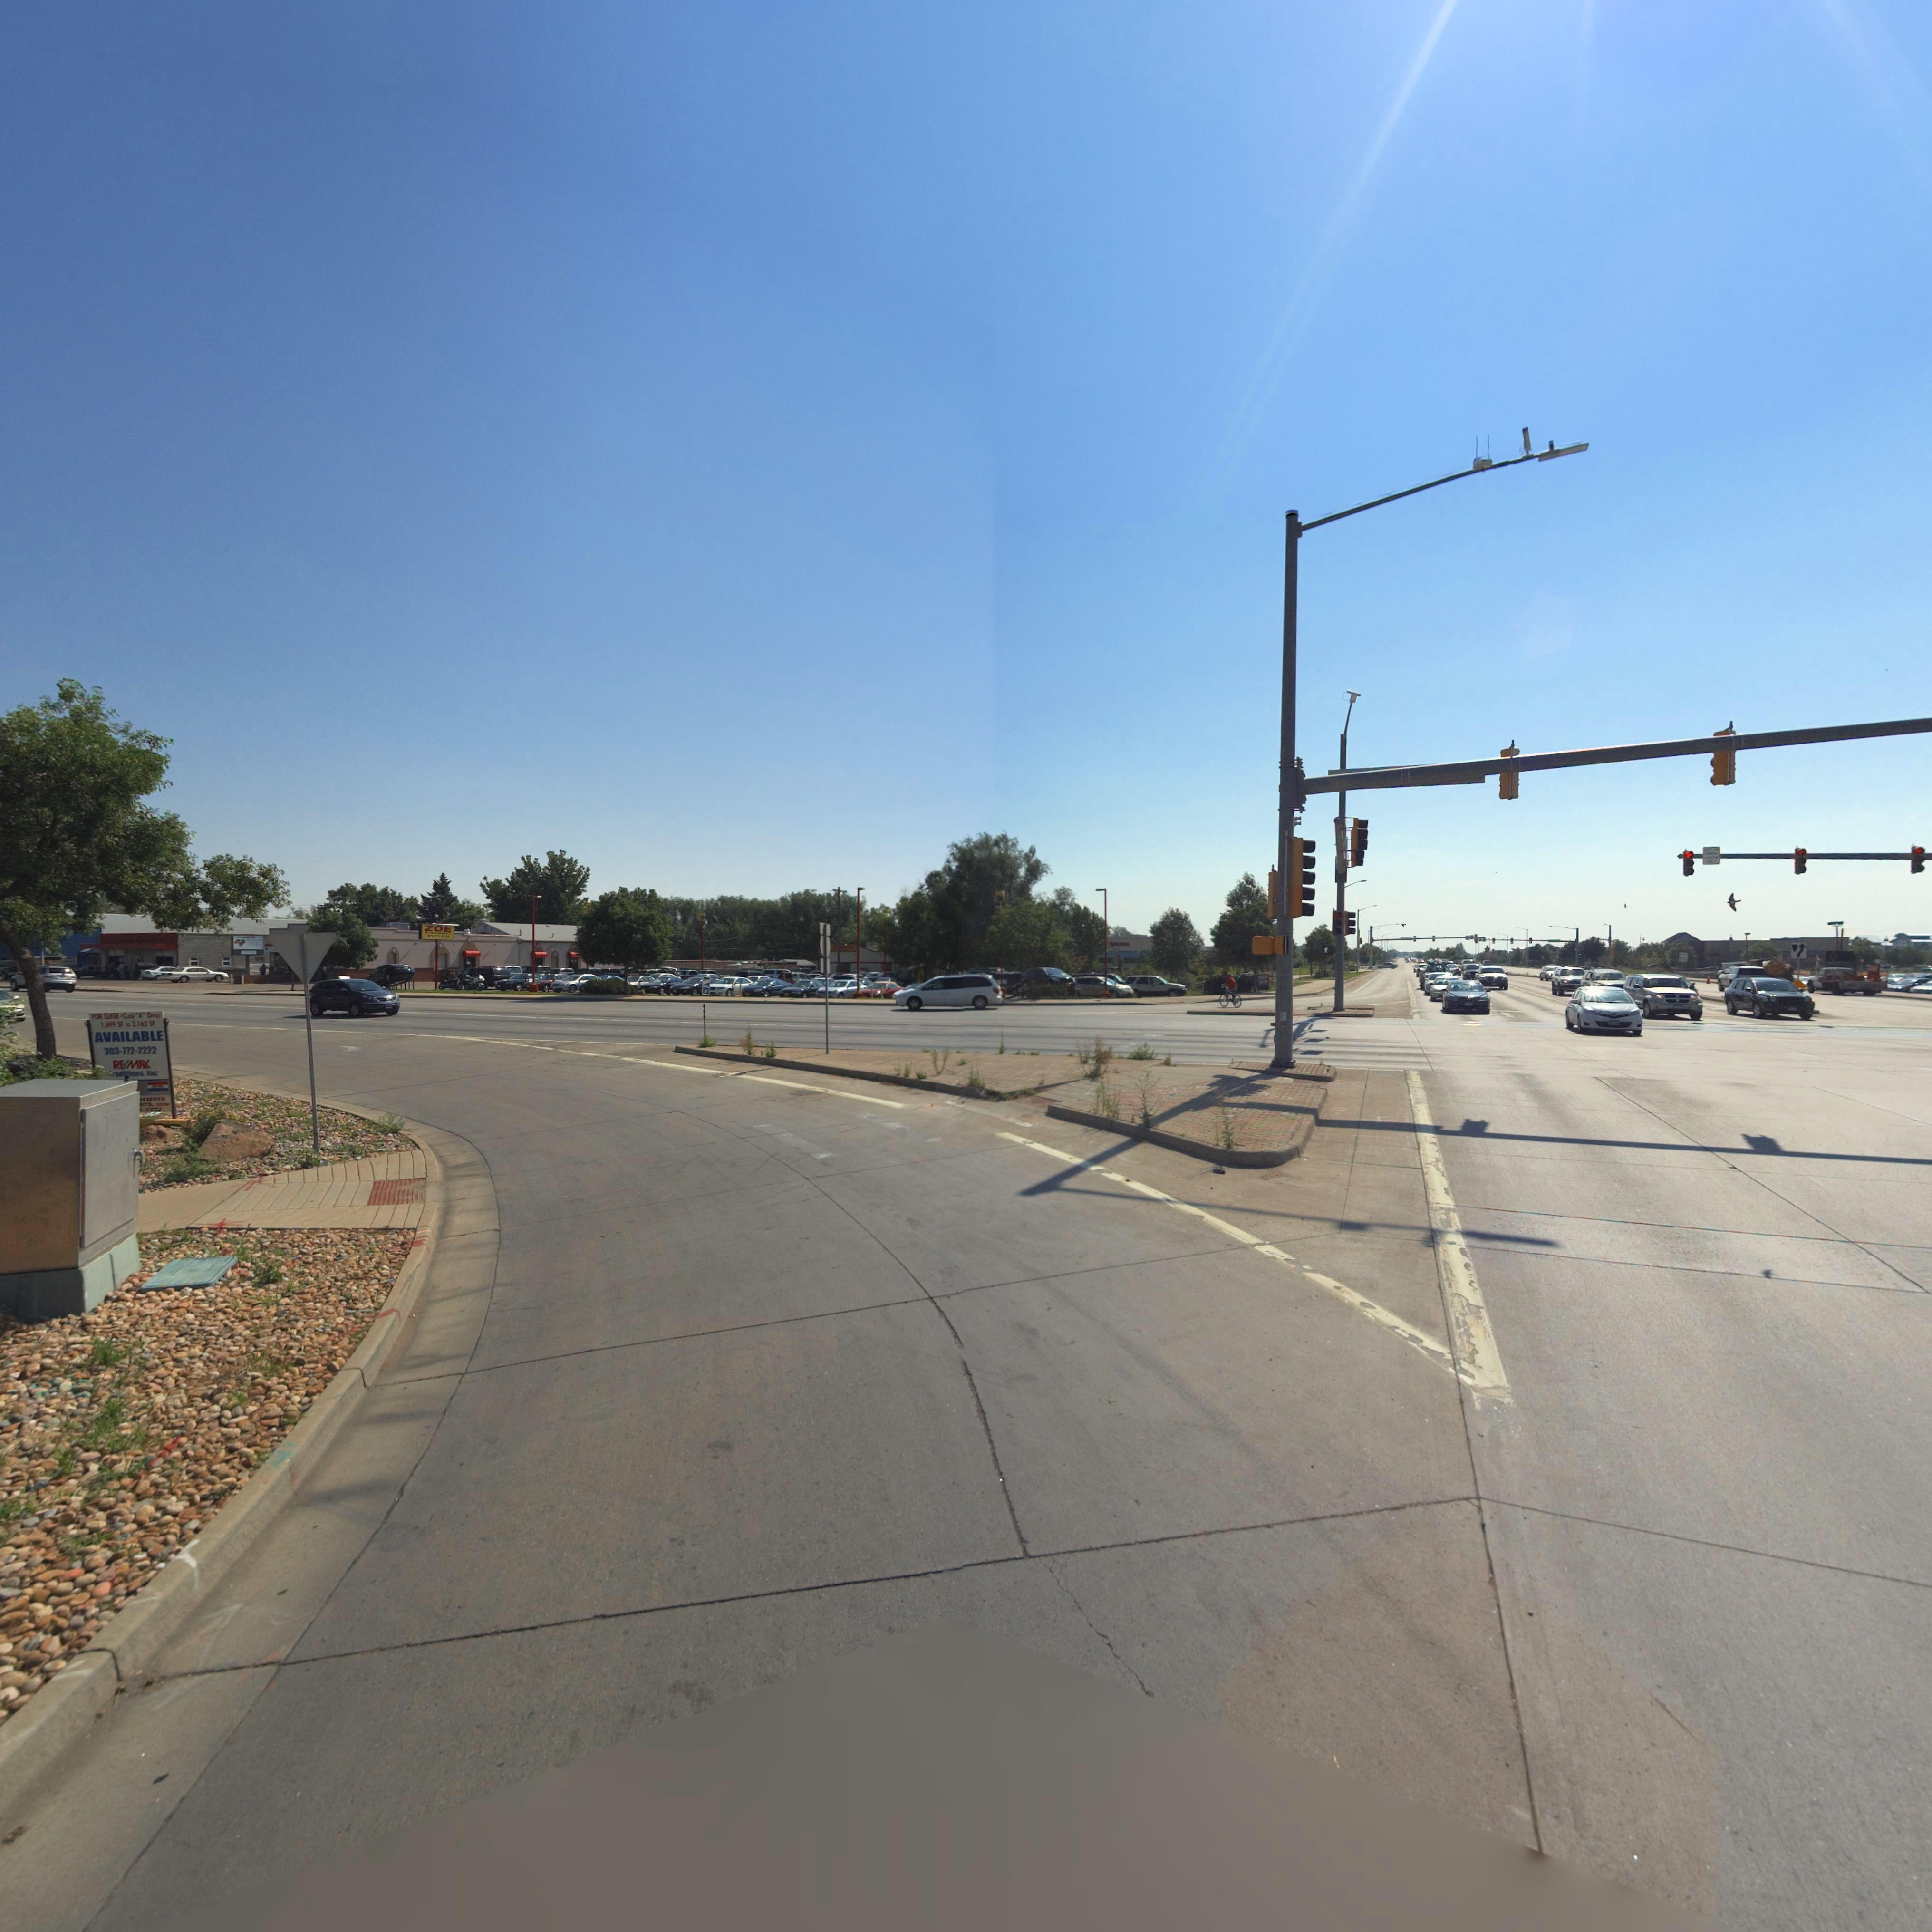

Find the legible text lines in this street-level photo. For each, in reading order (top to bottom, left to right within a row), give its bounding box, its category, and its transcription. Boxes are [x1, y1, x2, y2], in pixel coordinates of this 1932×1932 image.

[424, 925, 452, 932] BusinessName: ZOE
[832, 945, 854, 949] BusinessName: ZOE
[1108, 940, 1130, 948] BusinessName: *greens